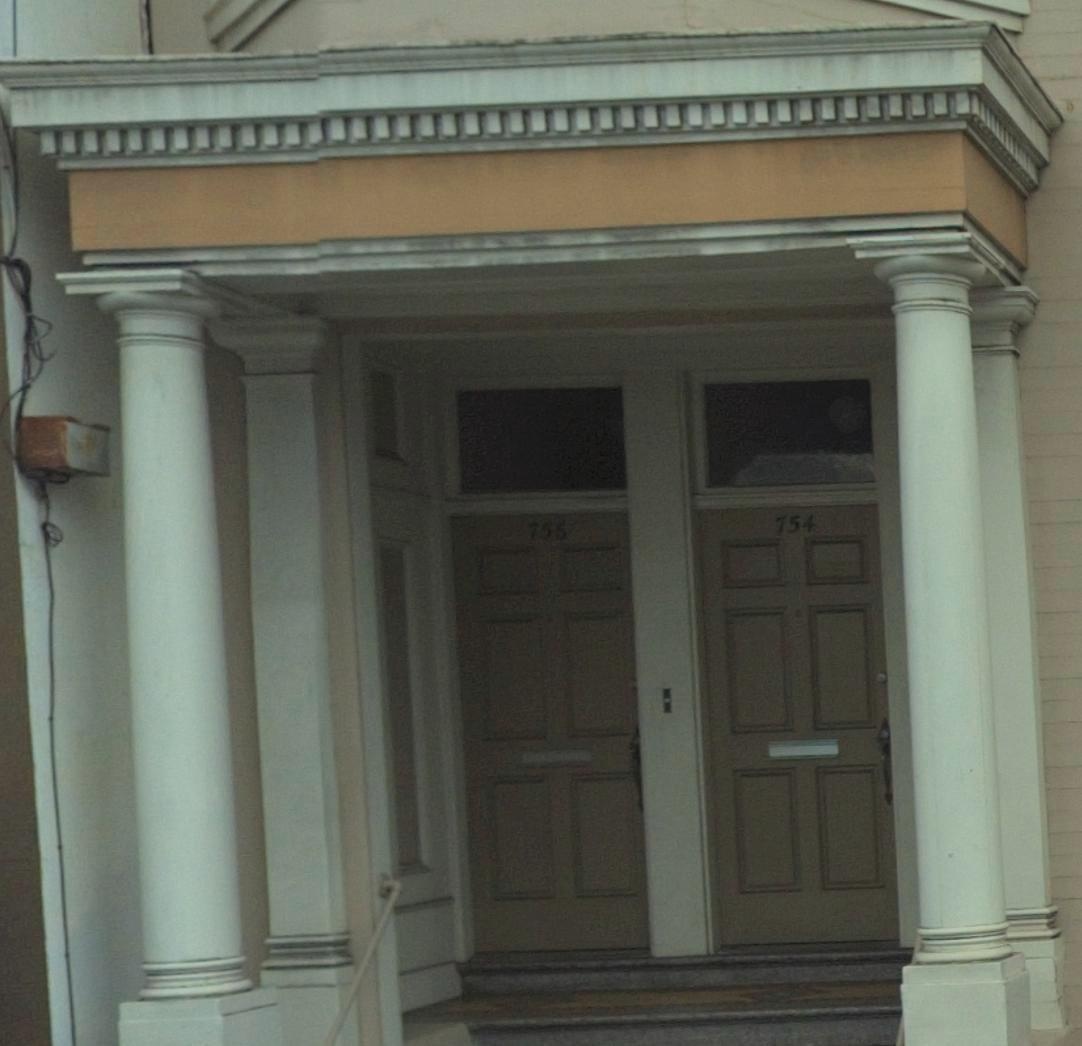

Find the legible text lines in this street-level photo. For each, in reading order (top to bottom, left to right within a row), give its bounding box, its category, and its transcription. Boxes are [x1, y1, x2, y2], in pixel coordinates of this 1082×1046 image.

[526, 517, 568, 544] StreetNumber: 756
[774, 513, 818, 535] StreetNumber: 754